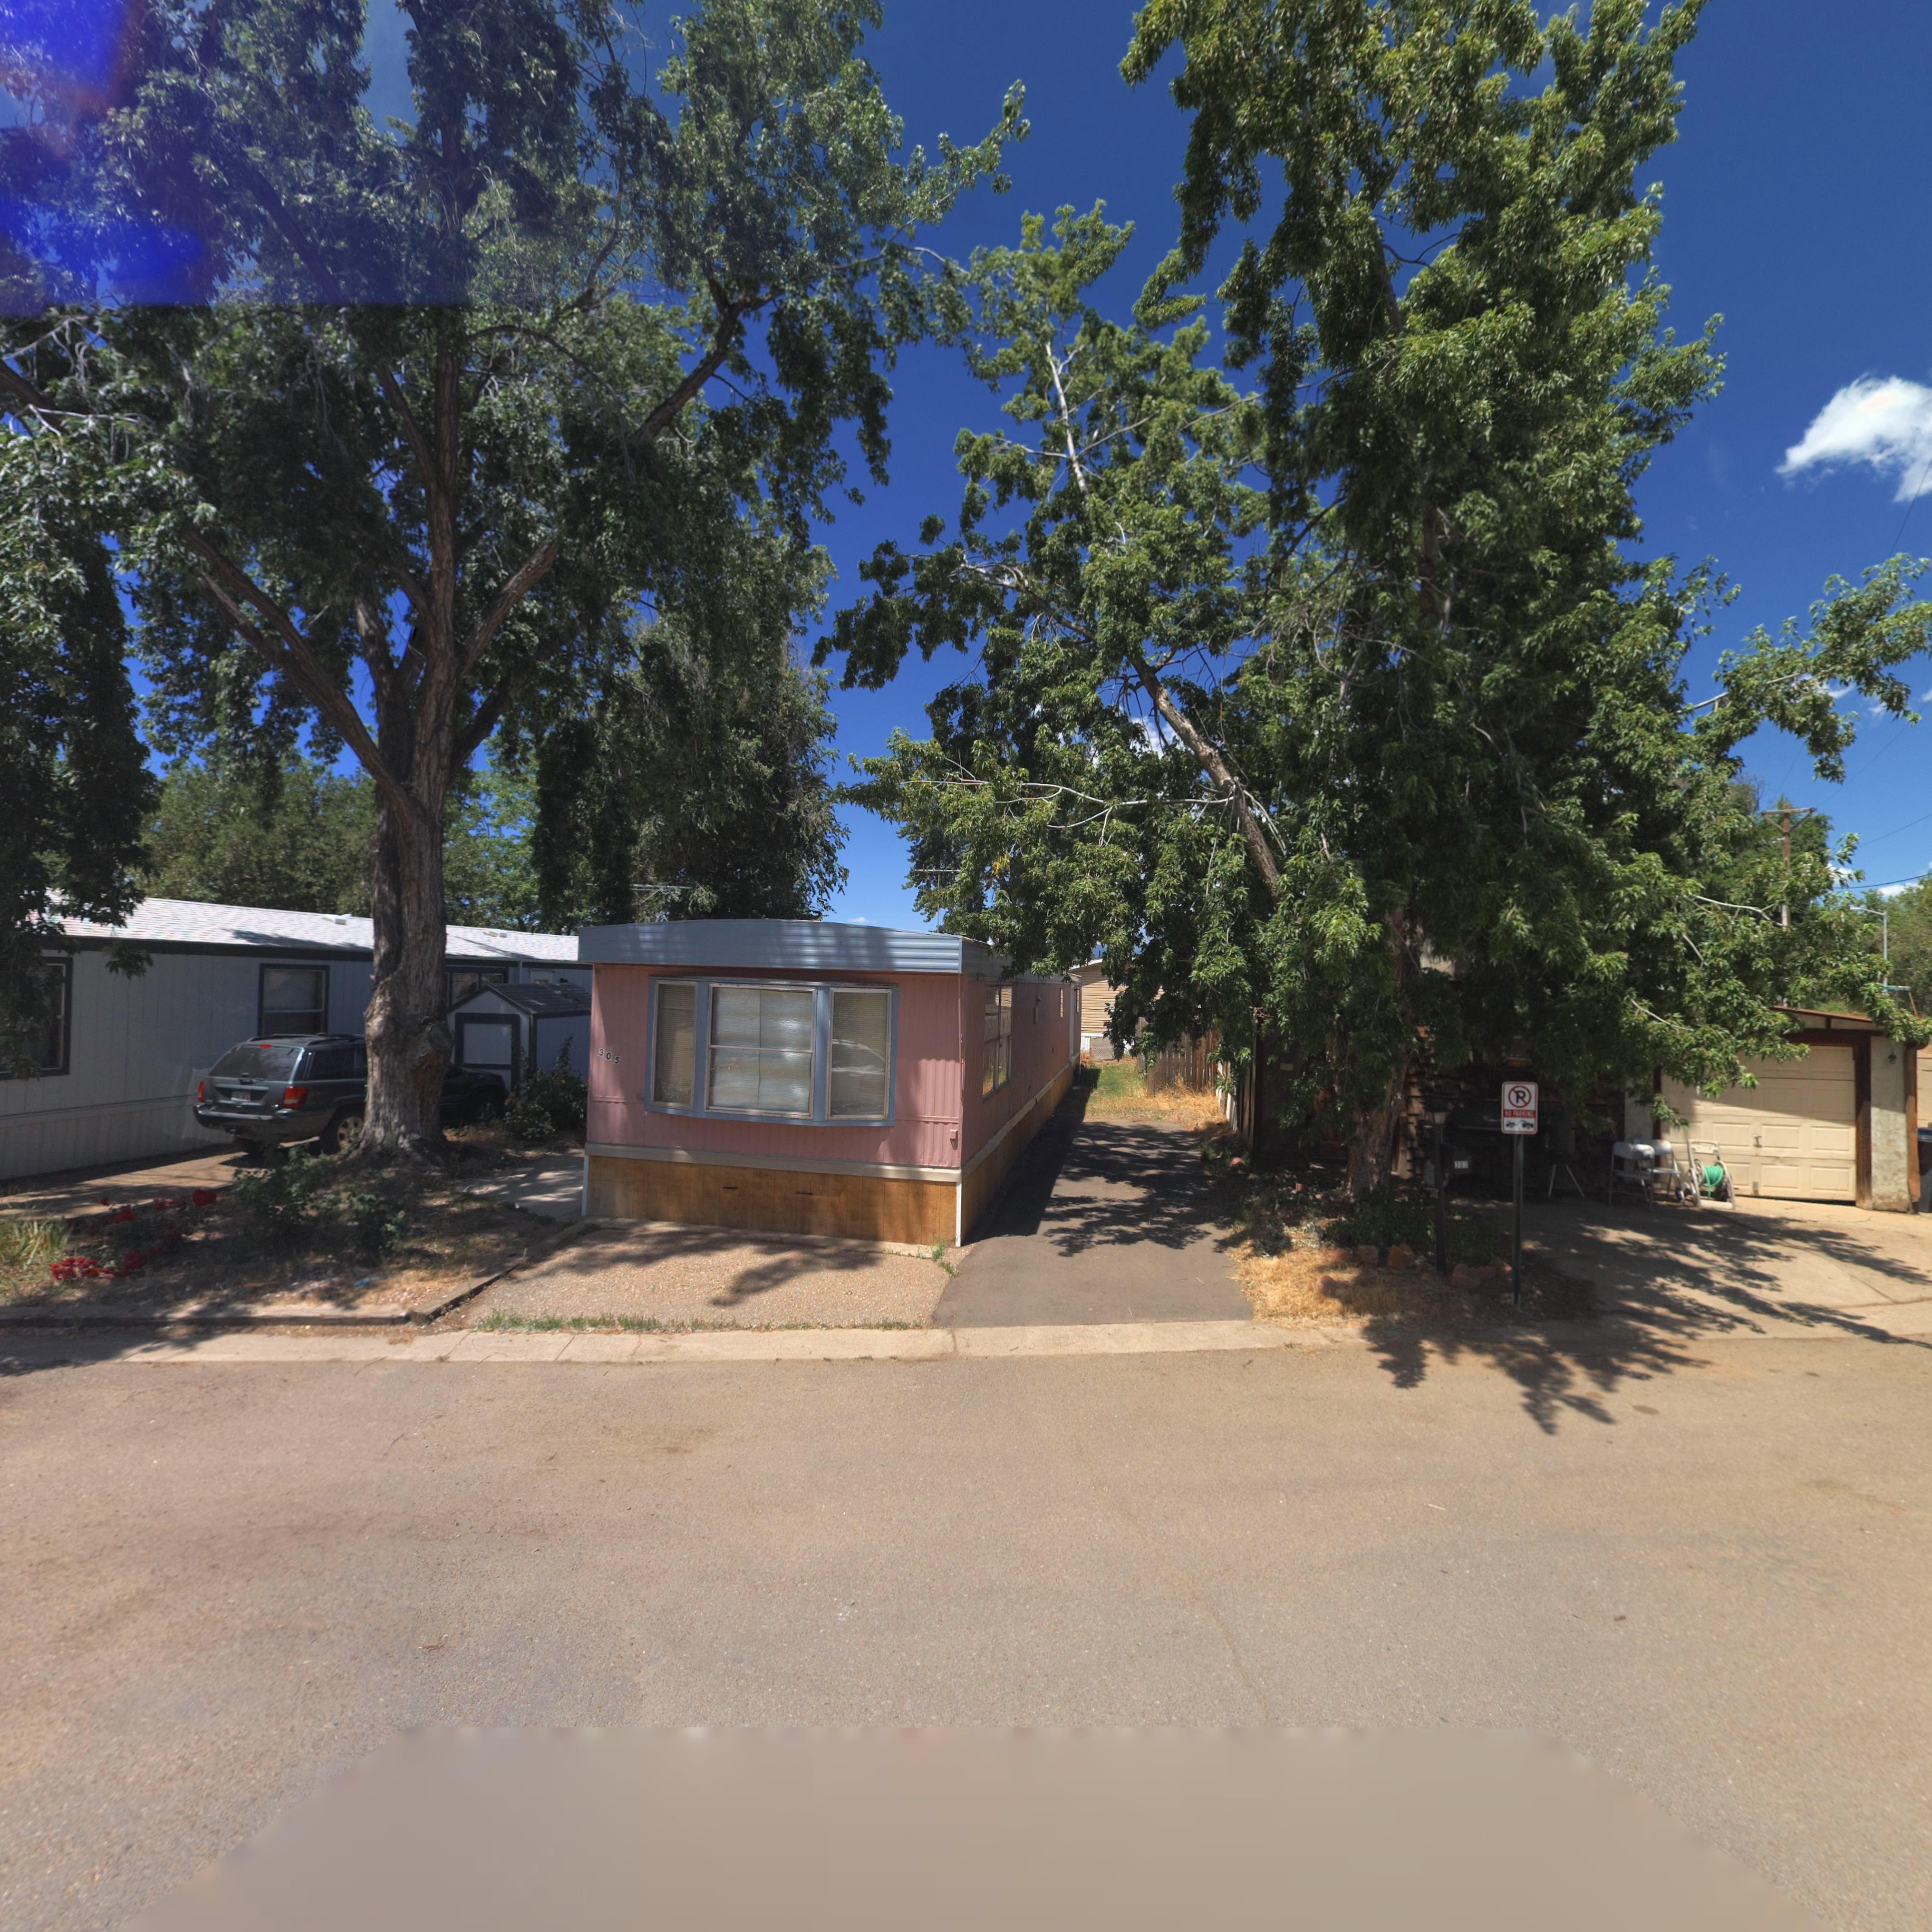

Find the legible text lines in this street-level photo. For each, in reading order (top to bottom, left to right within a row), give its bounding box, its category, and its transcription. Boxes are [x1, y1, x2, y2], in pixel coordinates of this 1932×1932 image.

[598, 1048, 619, 1063] StreetNumber: 305
[1455, 1161, 1467, 1168] StreetNumber: 303